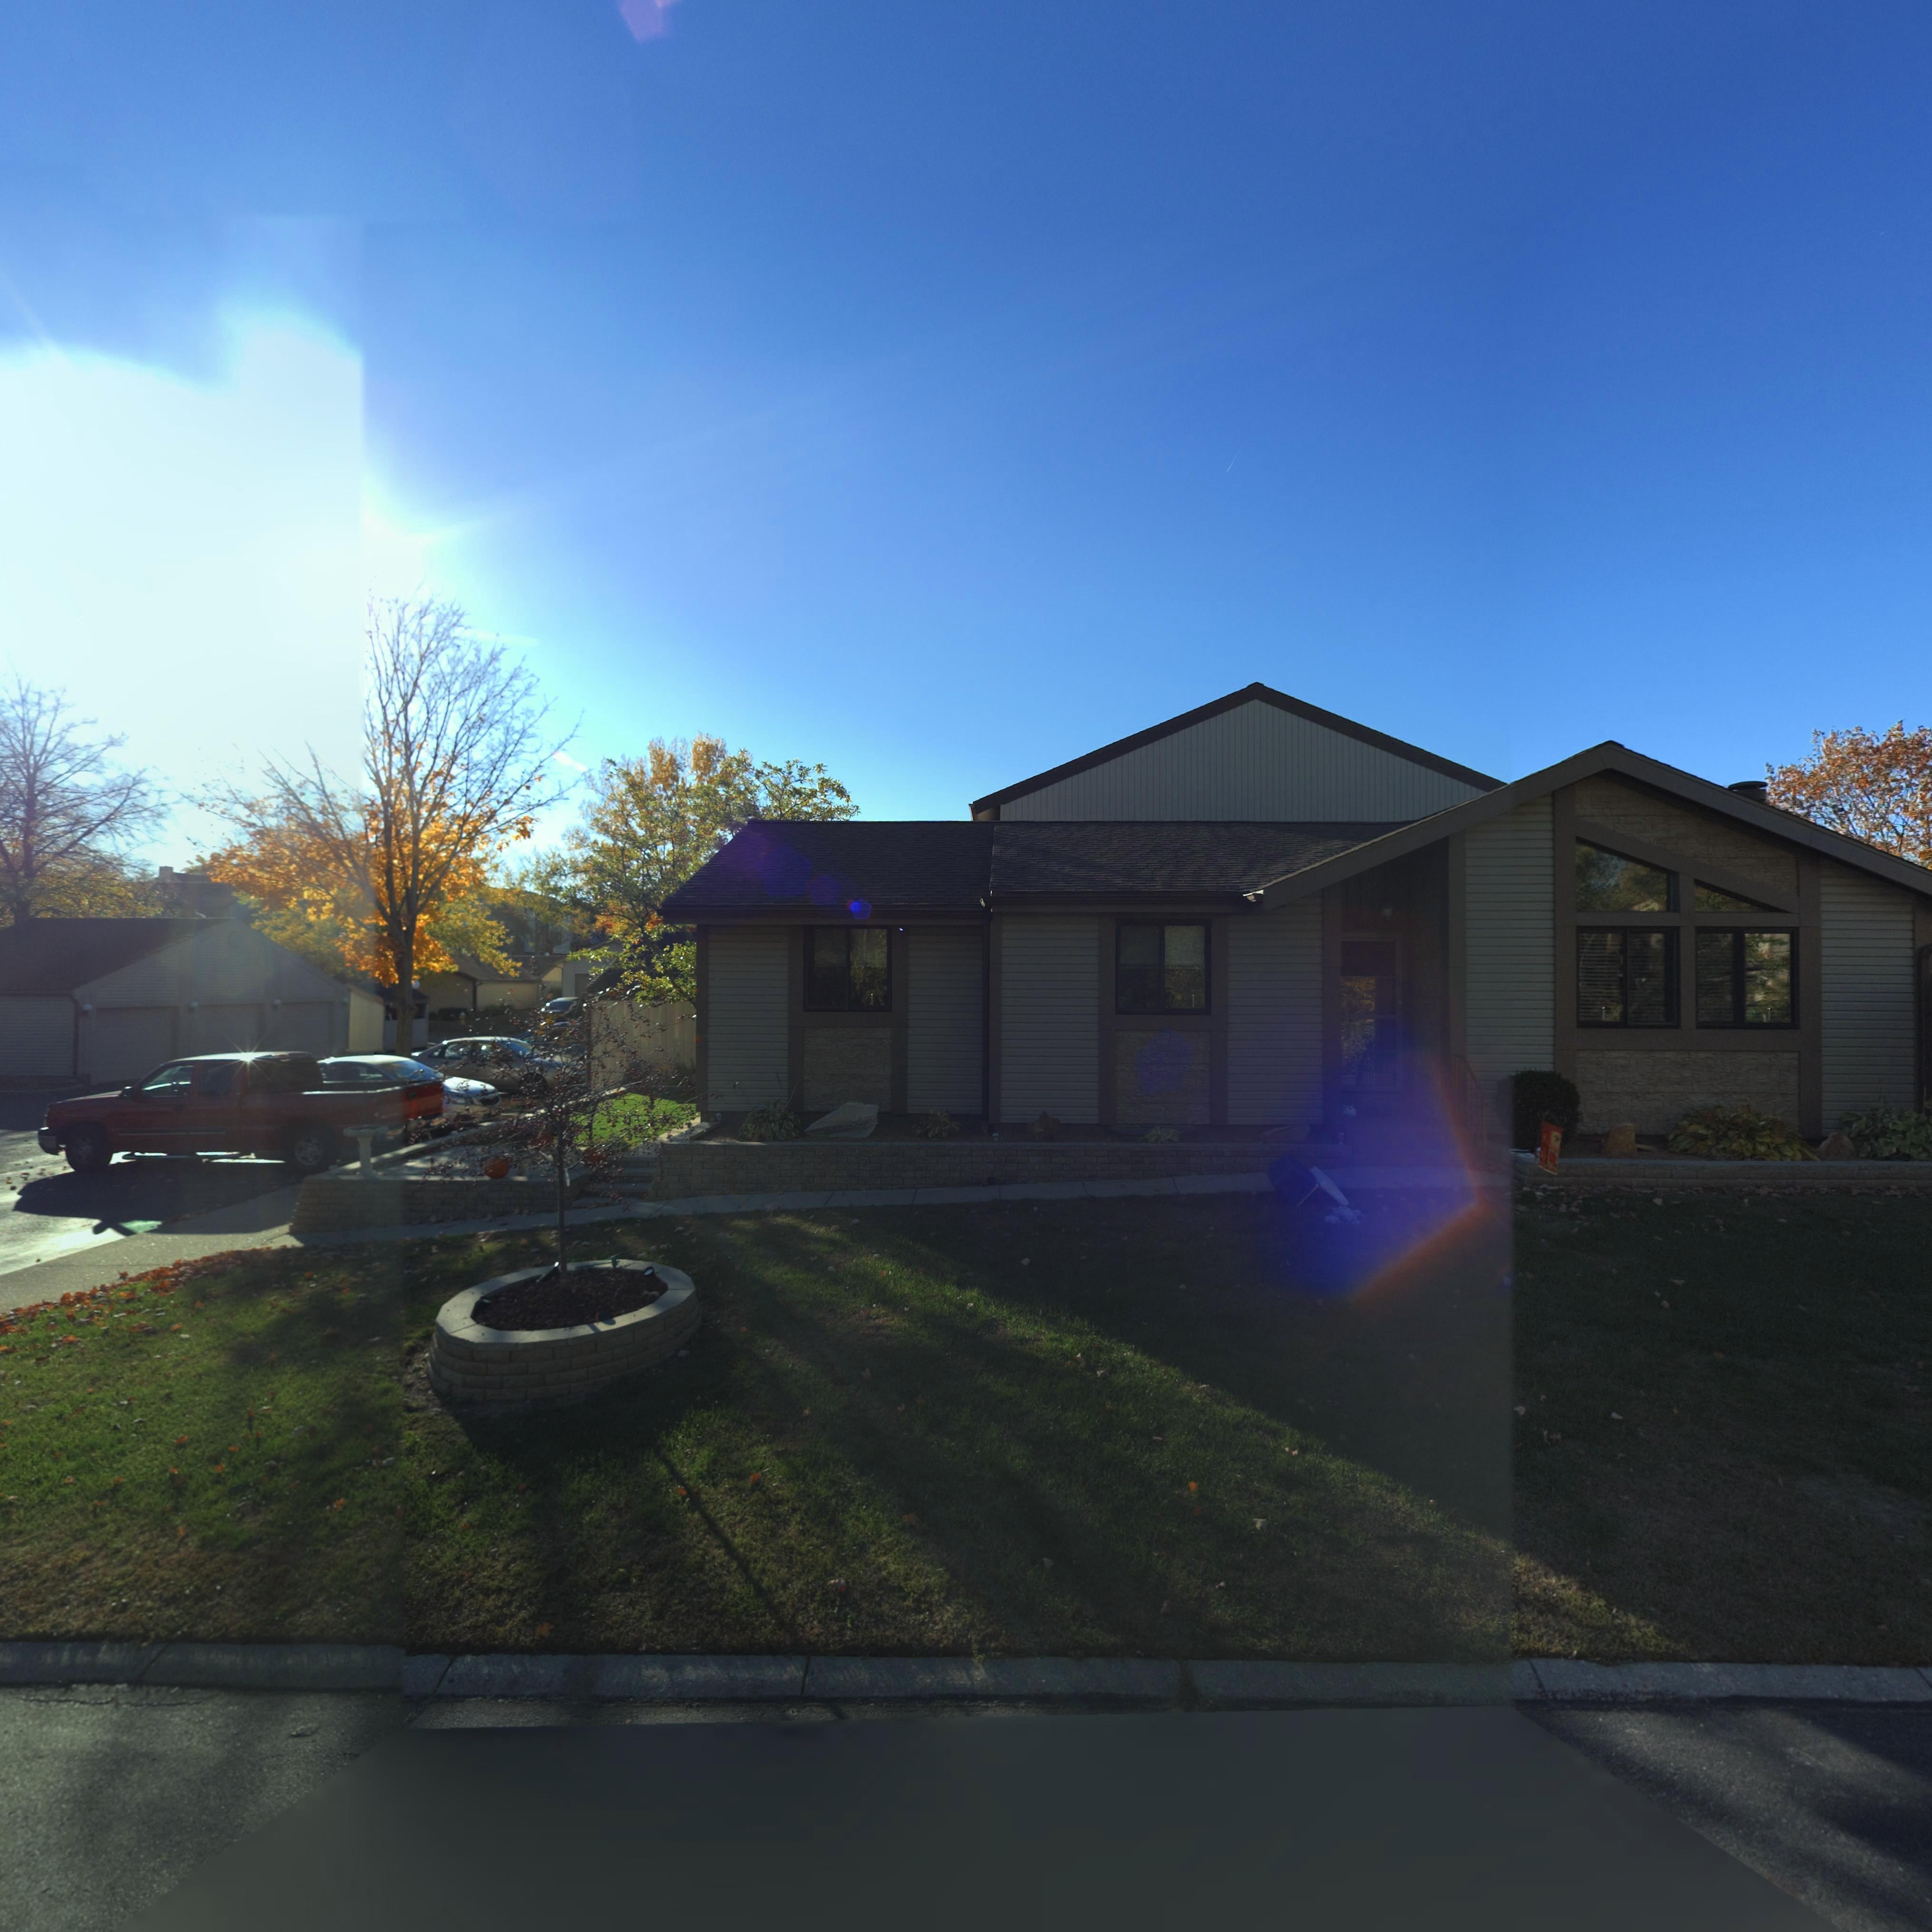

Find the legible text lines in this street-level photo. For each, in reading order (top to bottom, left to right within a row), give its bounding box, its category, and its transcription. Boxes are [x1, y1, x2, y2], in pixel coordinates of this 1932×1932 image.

[1354, 917, 1379, 929] StreetNumber: 6100